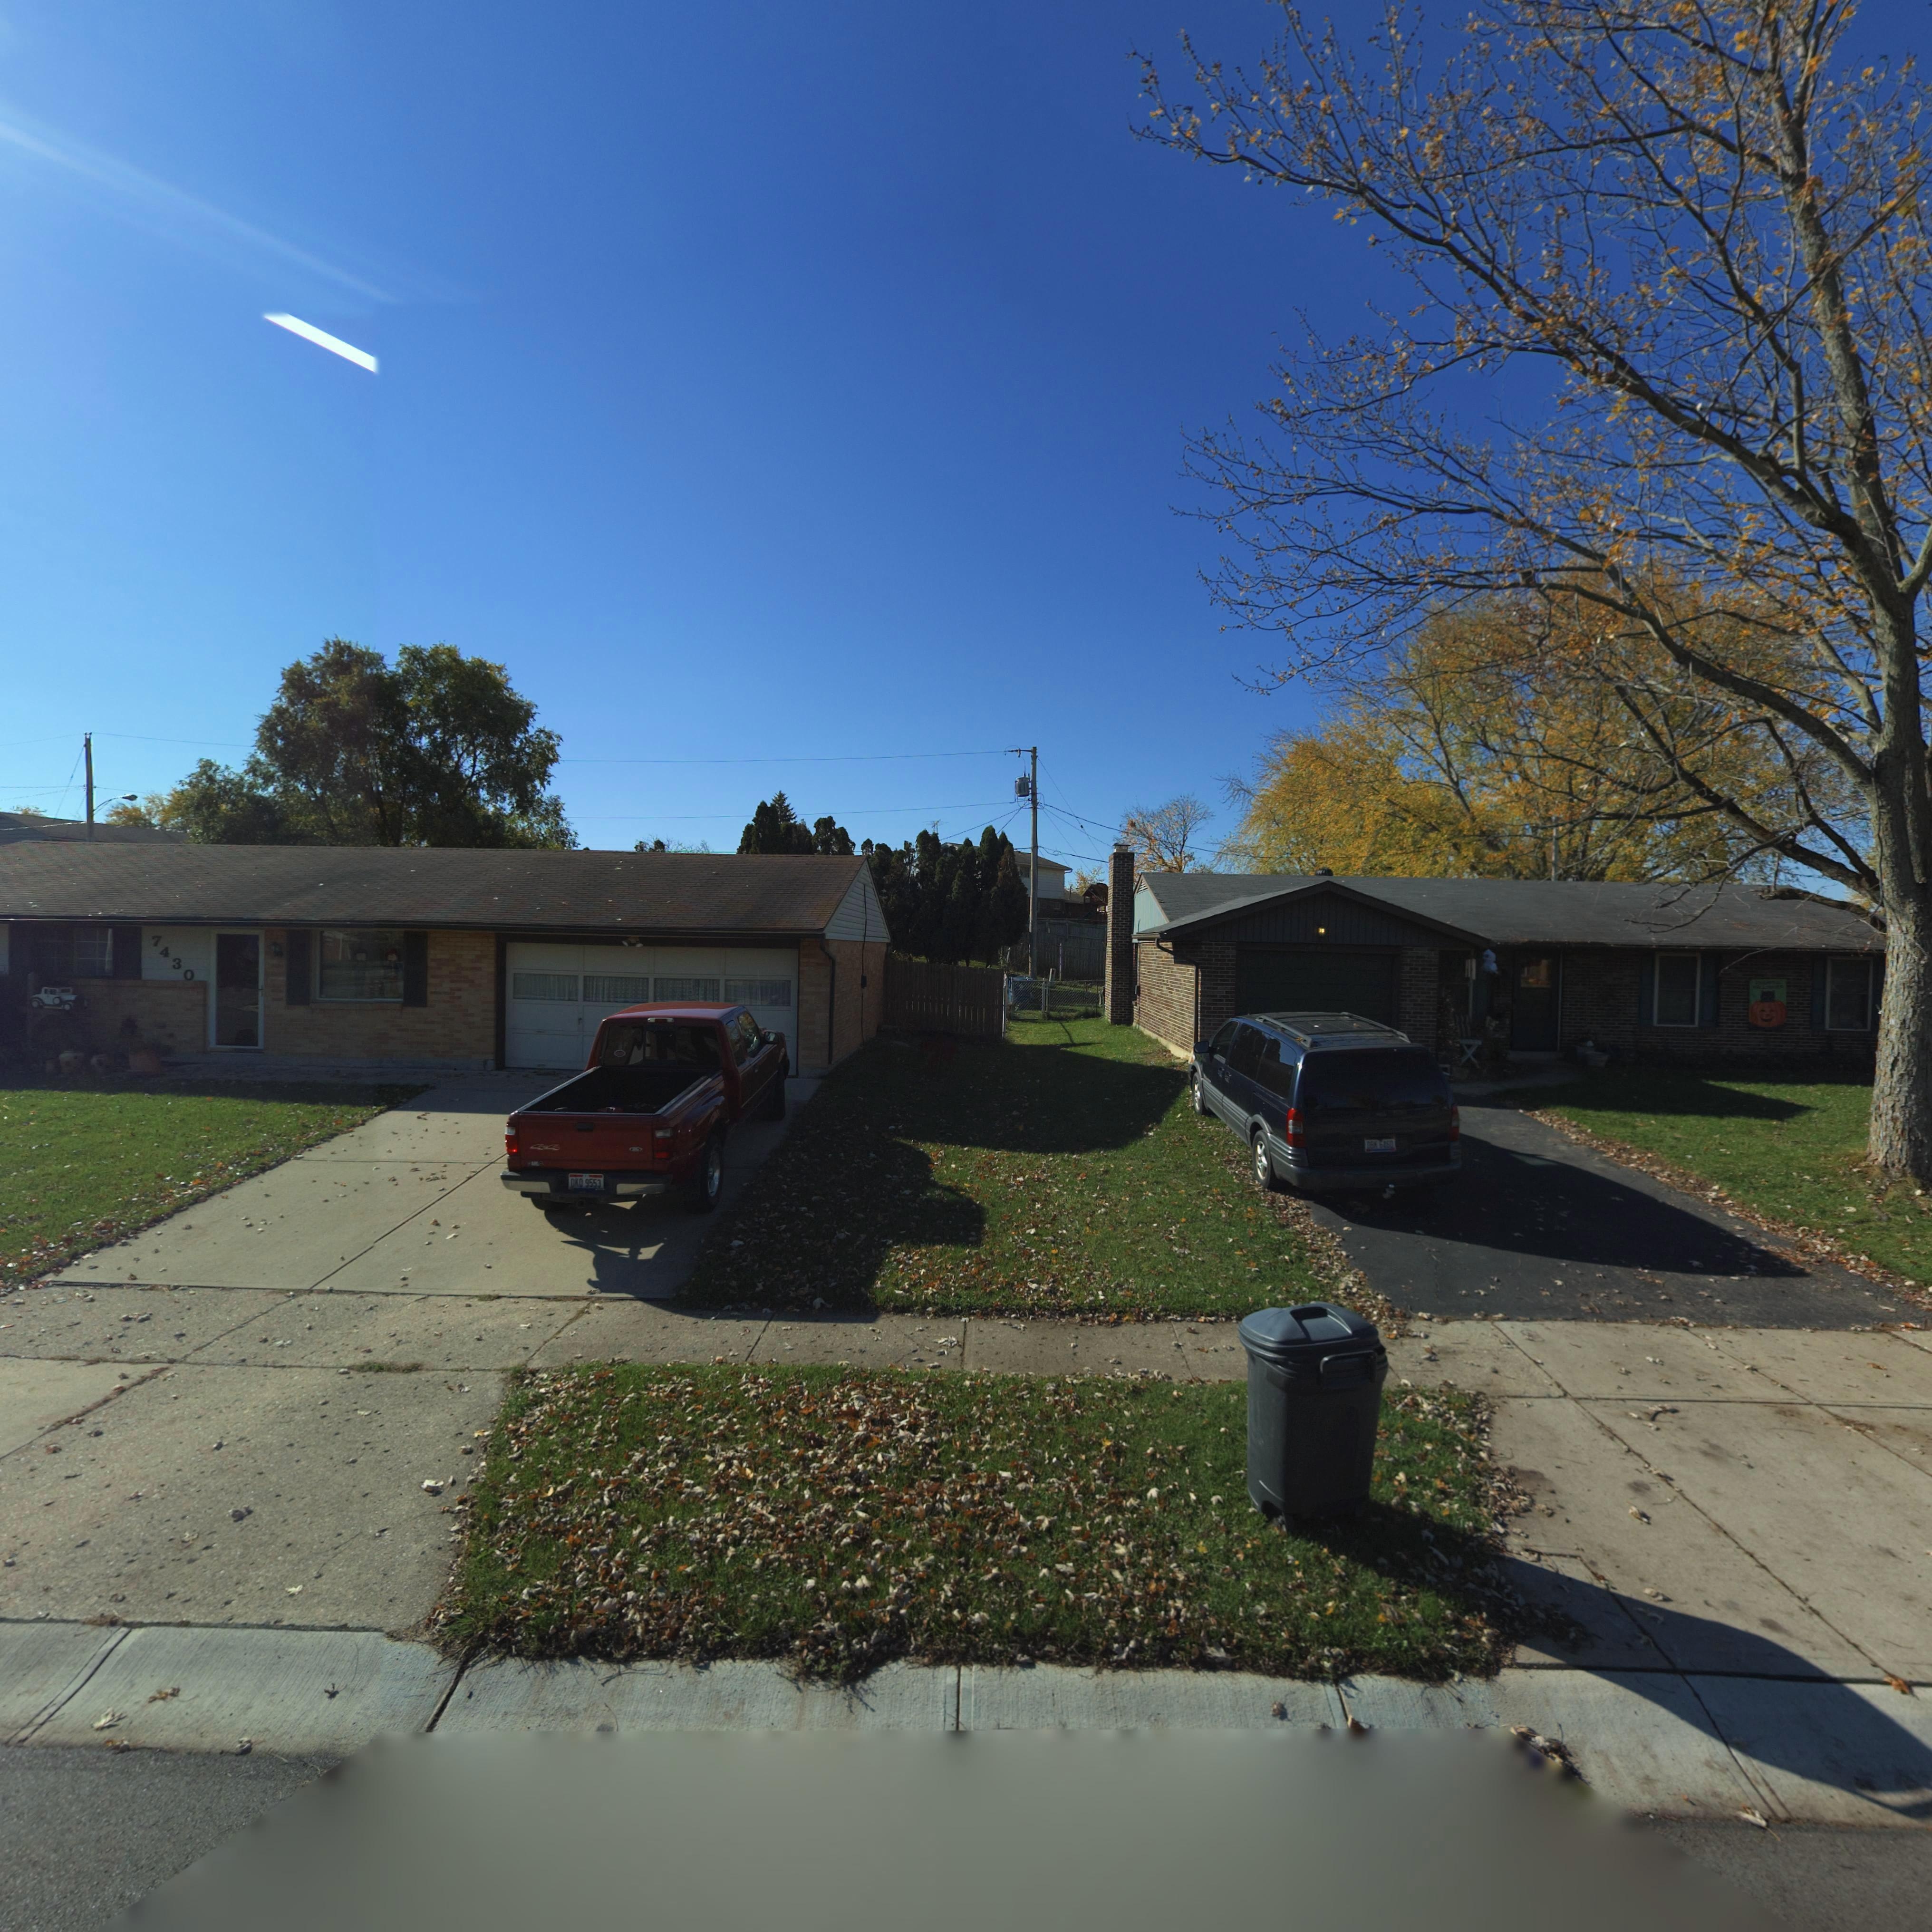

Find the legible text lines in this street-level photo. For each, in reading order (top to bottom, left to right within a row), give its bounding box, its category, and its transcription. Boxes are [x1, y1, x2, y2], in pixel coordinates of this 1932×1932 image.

[150, 934, 196, 982] StreetNumber: 7430